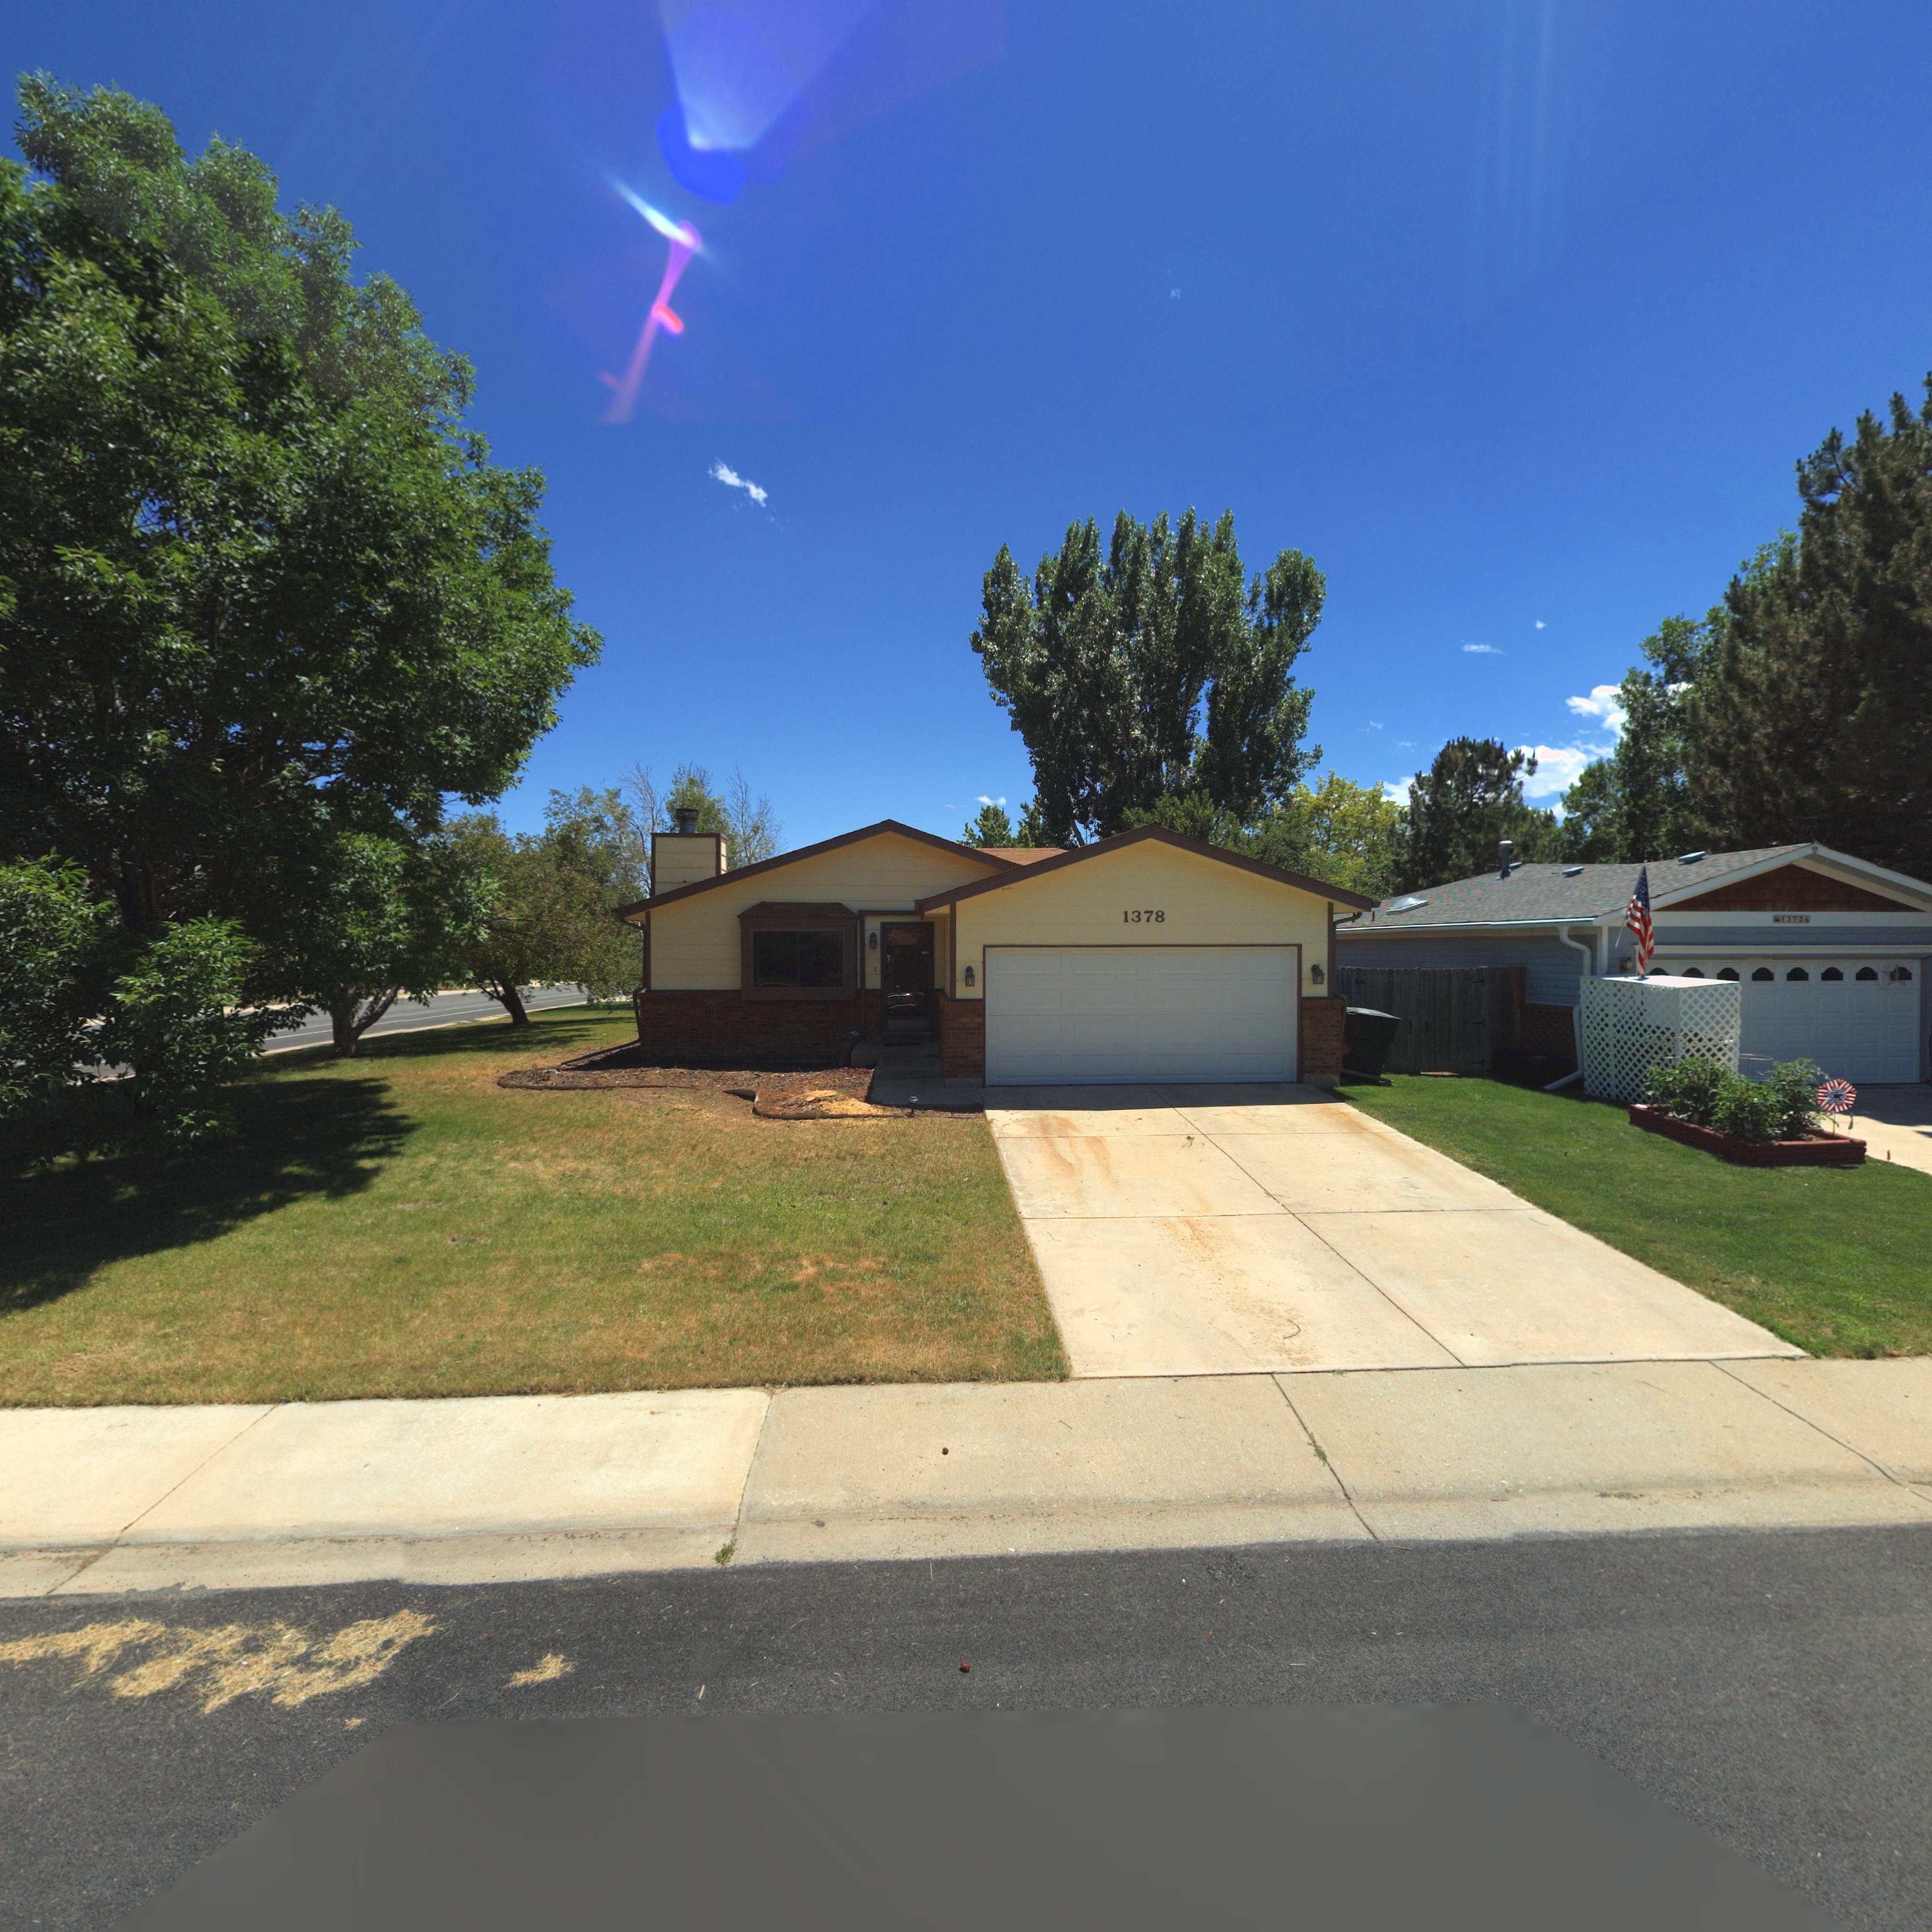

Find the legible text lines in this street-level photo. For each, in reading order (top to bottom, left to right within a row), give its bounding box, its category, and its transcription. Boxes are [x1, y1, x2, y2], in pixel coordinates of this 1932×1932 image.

[1123, 910, 1165, 923] StreetNumber: 1378
[1781, 916, 1803, 922] StreetNumber: 1372